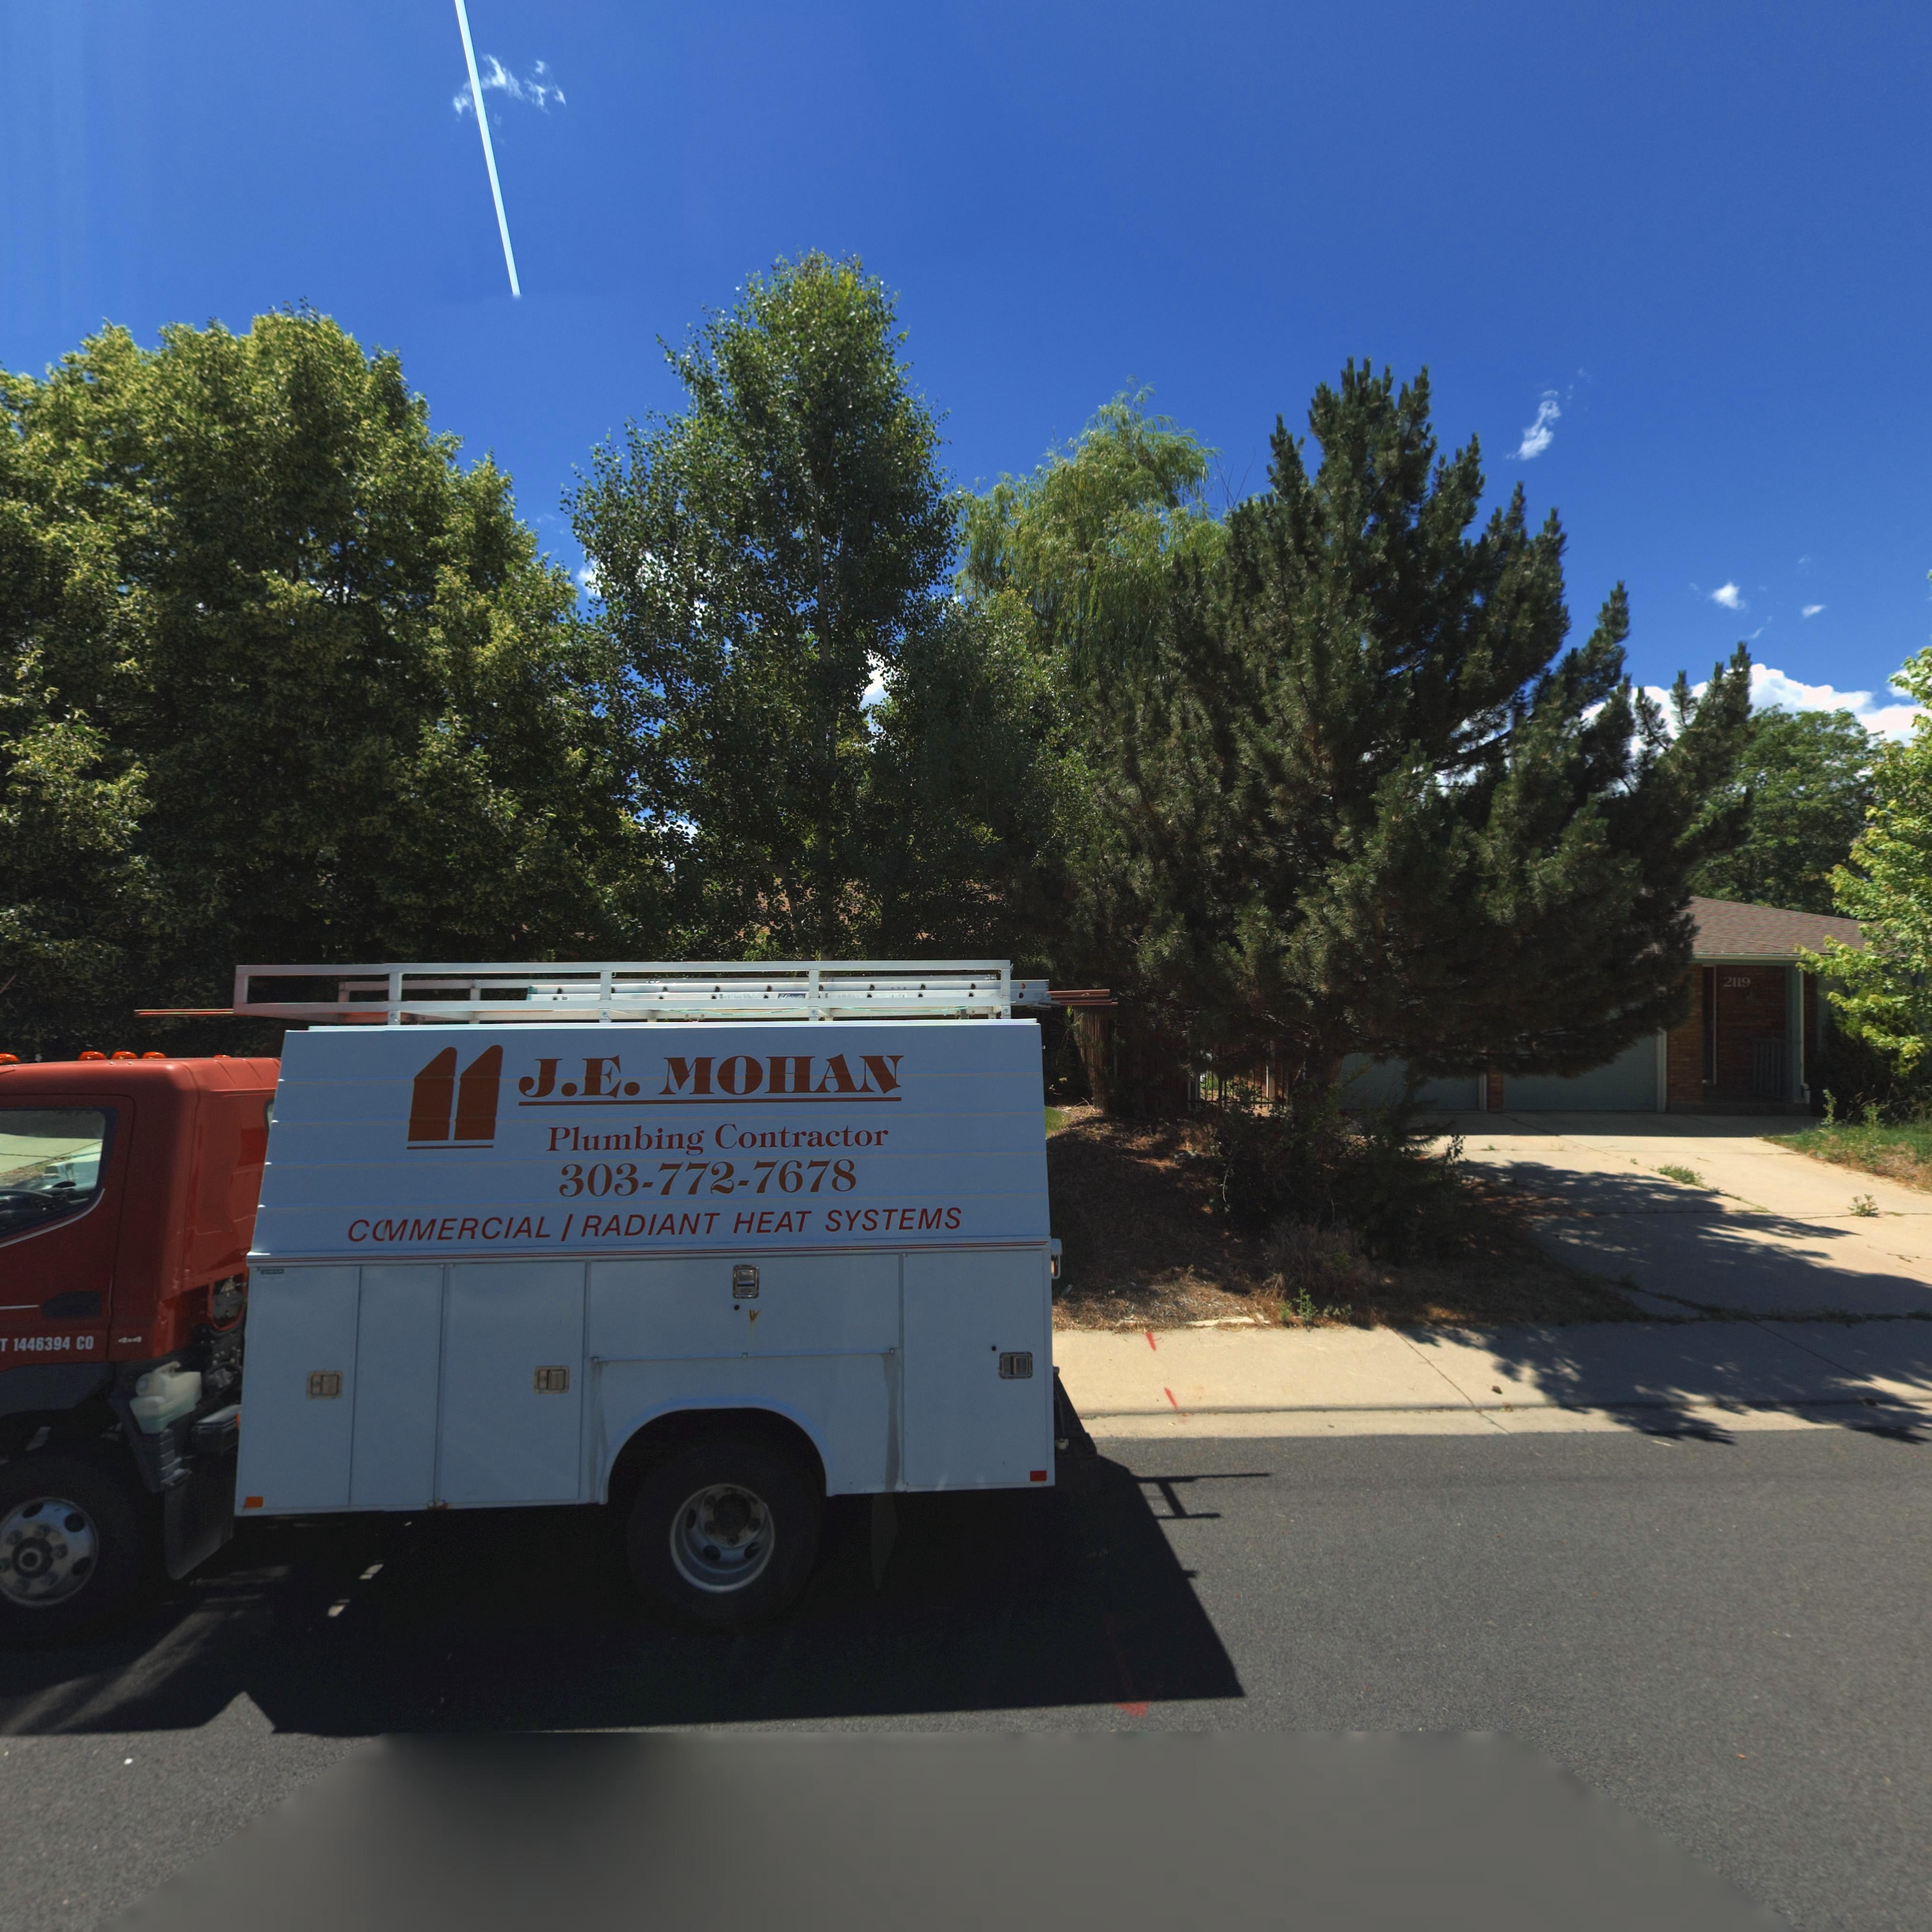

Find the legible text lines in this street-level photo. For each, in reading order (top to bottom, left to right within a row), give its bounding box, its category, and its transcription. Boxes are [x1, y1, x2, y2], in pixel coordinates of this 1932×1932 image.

[1723, 976, 1751, 987] StreetNumber: 2119